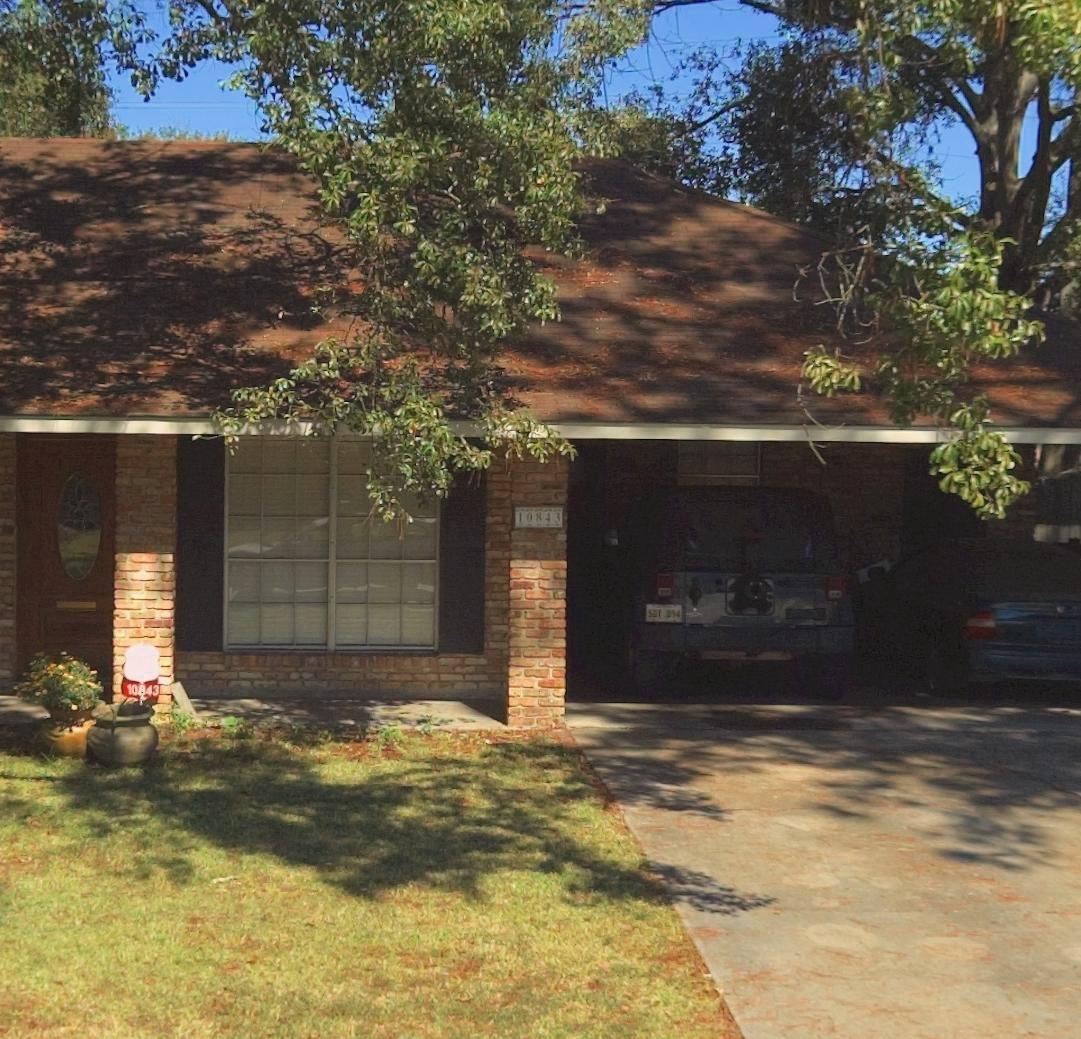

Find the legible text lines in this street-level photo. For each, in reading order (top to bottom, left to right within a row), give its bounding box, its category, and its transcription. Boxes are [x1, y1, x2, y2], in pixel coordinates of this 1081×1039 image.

[517, 509, 562, 525] StreetNumber: 10843
[125, 682, 161, 698] StreetNumber: 10843